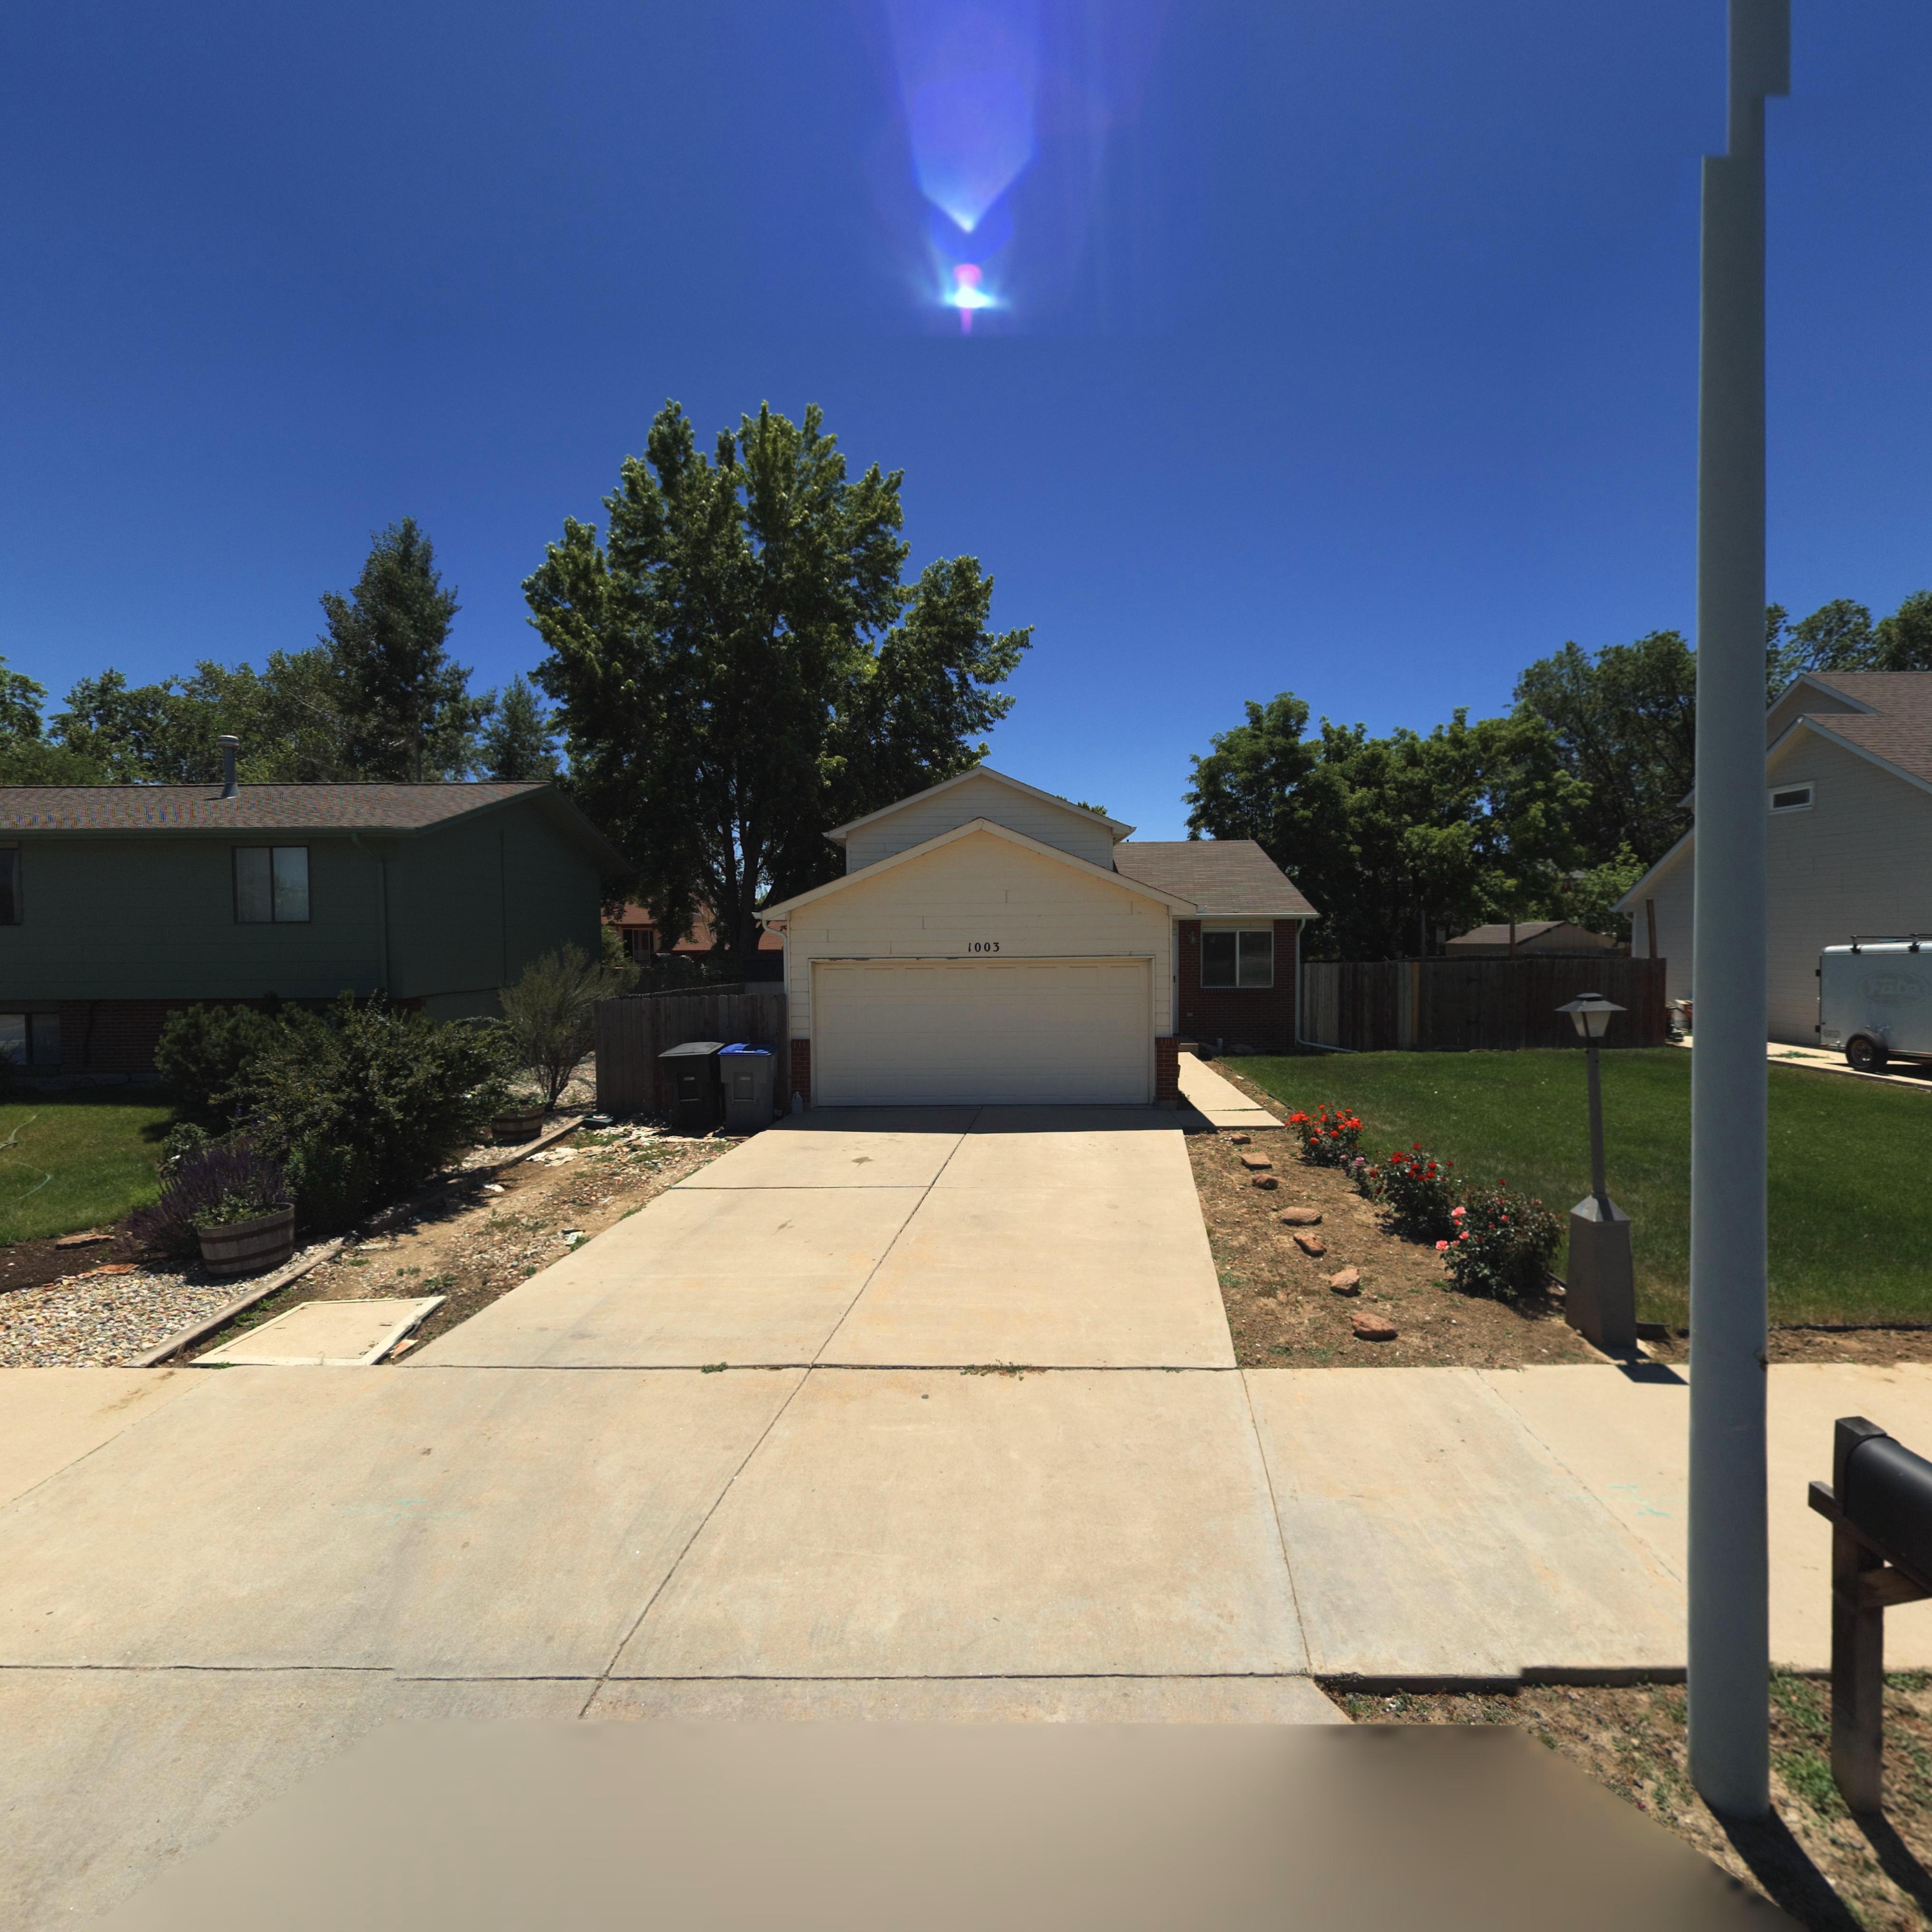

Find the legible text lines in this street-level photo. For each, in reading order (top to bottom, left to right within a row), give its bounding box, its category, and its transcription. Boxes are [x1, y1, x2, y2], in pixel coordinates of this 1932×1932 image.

[968, 941, 999, 952] StreetNumber: 1003